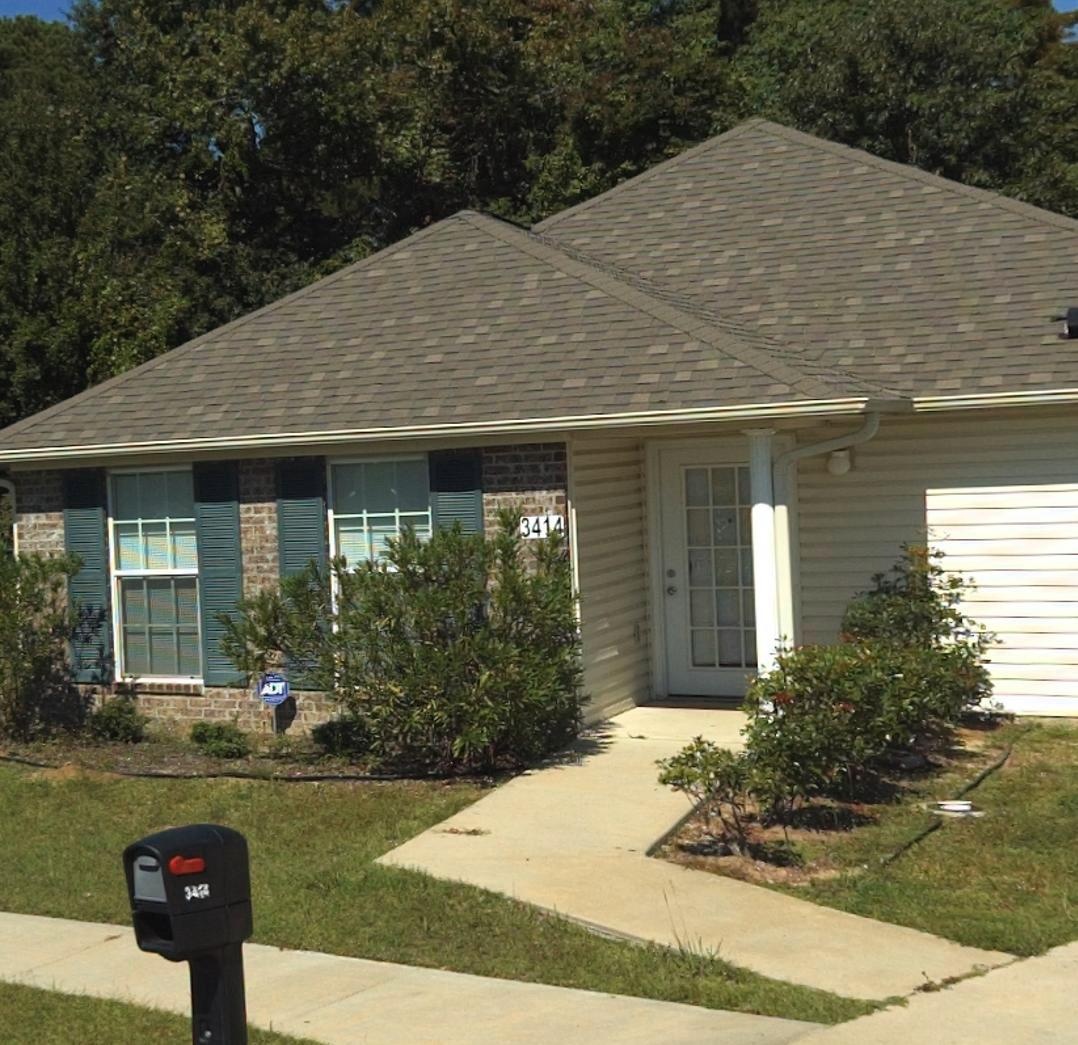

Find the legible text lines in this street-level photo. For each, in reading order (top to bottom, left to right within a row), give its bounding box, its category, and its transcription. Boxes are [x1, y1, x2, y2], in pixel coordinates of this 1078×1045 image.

[521, 516, 563, 538] StreetNumber: 341*
[258, 681, 286, 696] None: ADT
[181, 881, 213, 904] StreetNumber: 34*